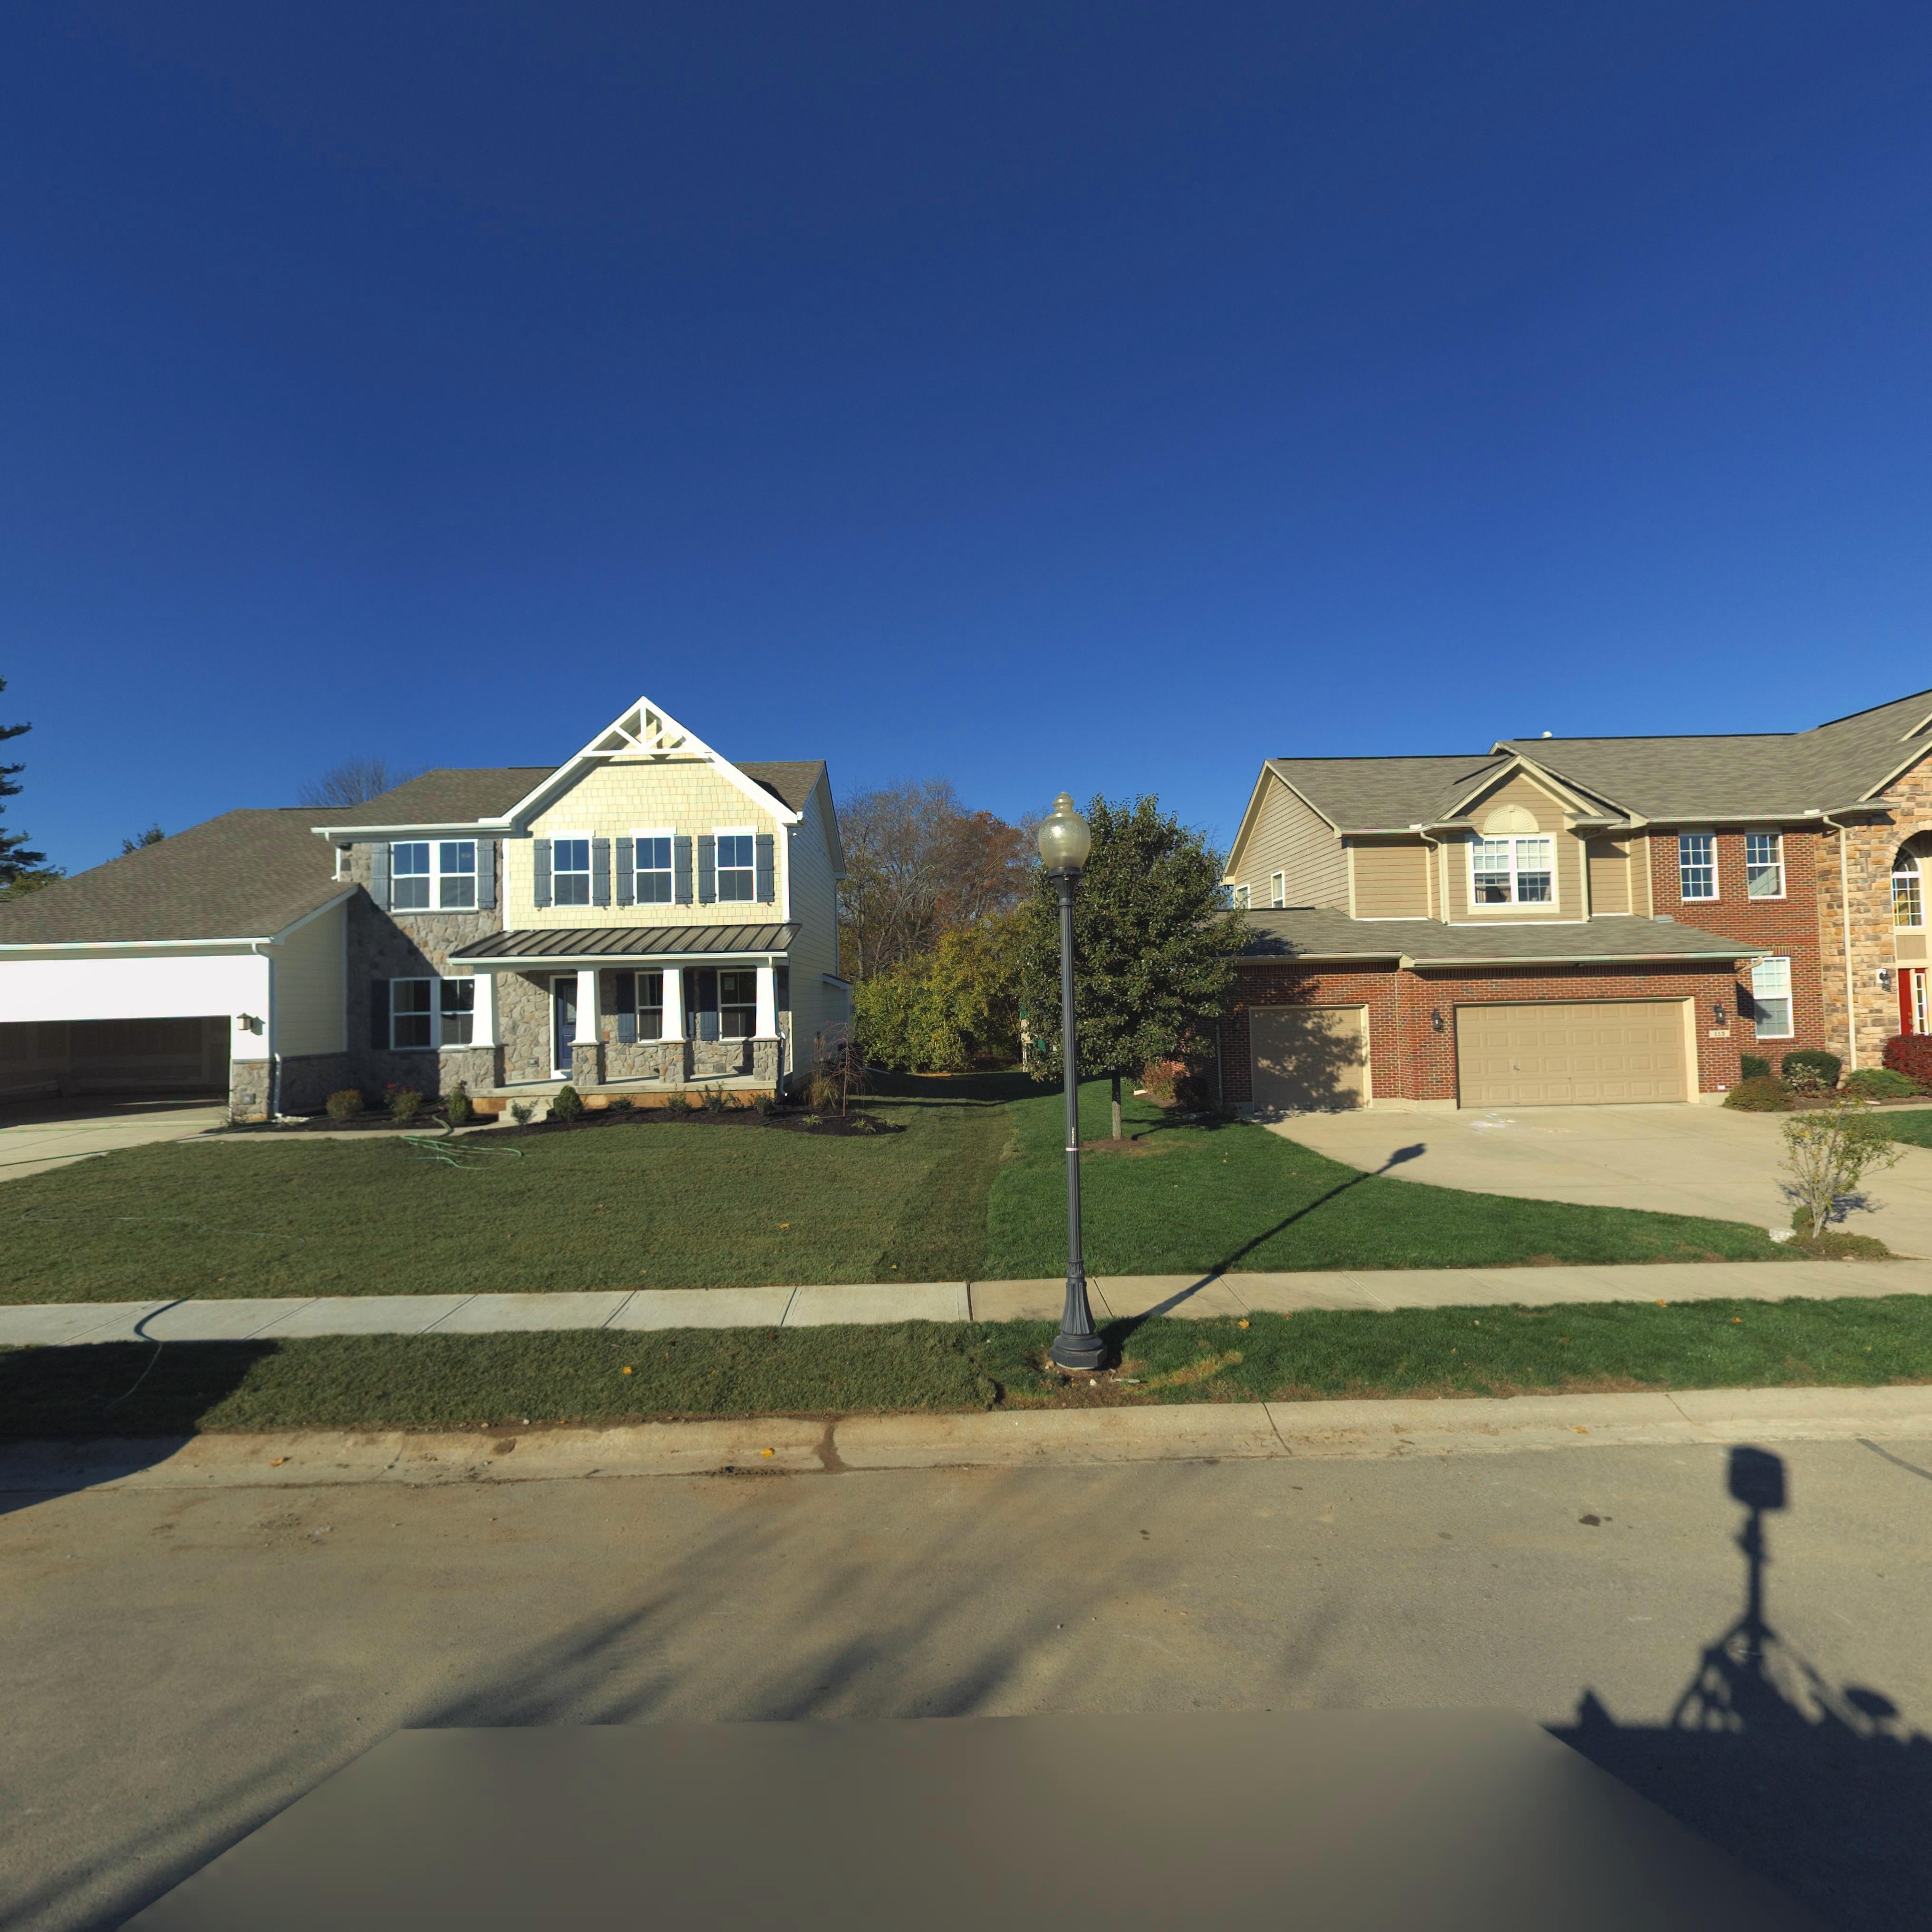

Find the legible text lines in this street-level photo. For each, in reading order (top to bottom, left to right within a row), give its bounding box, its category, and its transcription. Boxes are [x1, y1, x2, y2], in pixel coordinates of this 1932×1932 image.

[1713, 1031, 1726, 1037] StreetNumber: 113